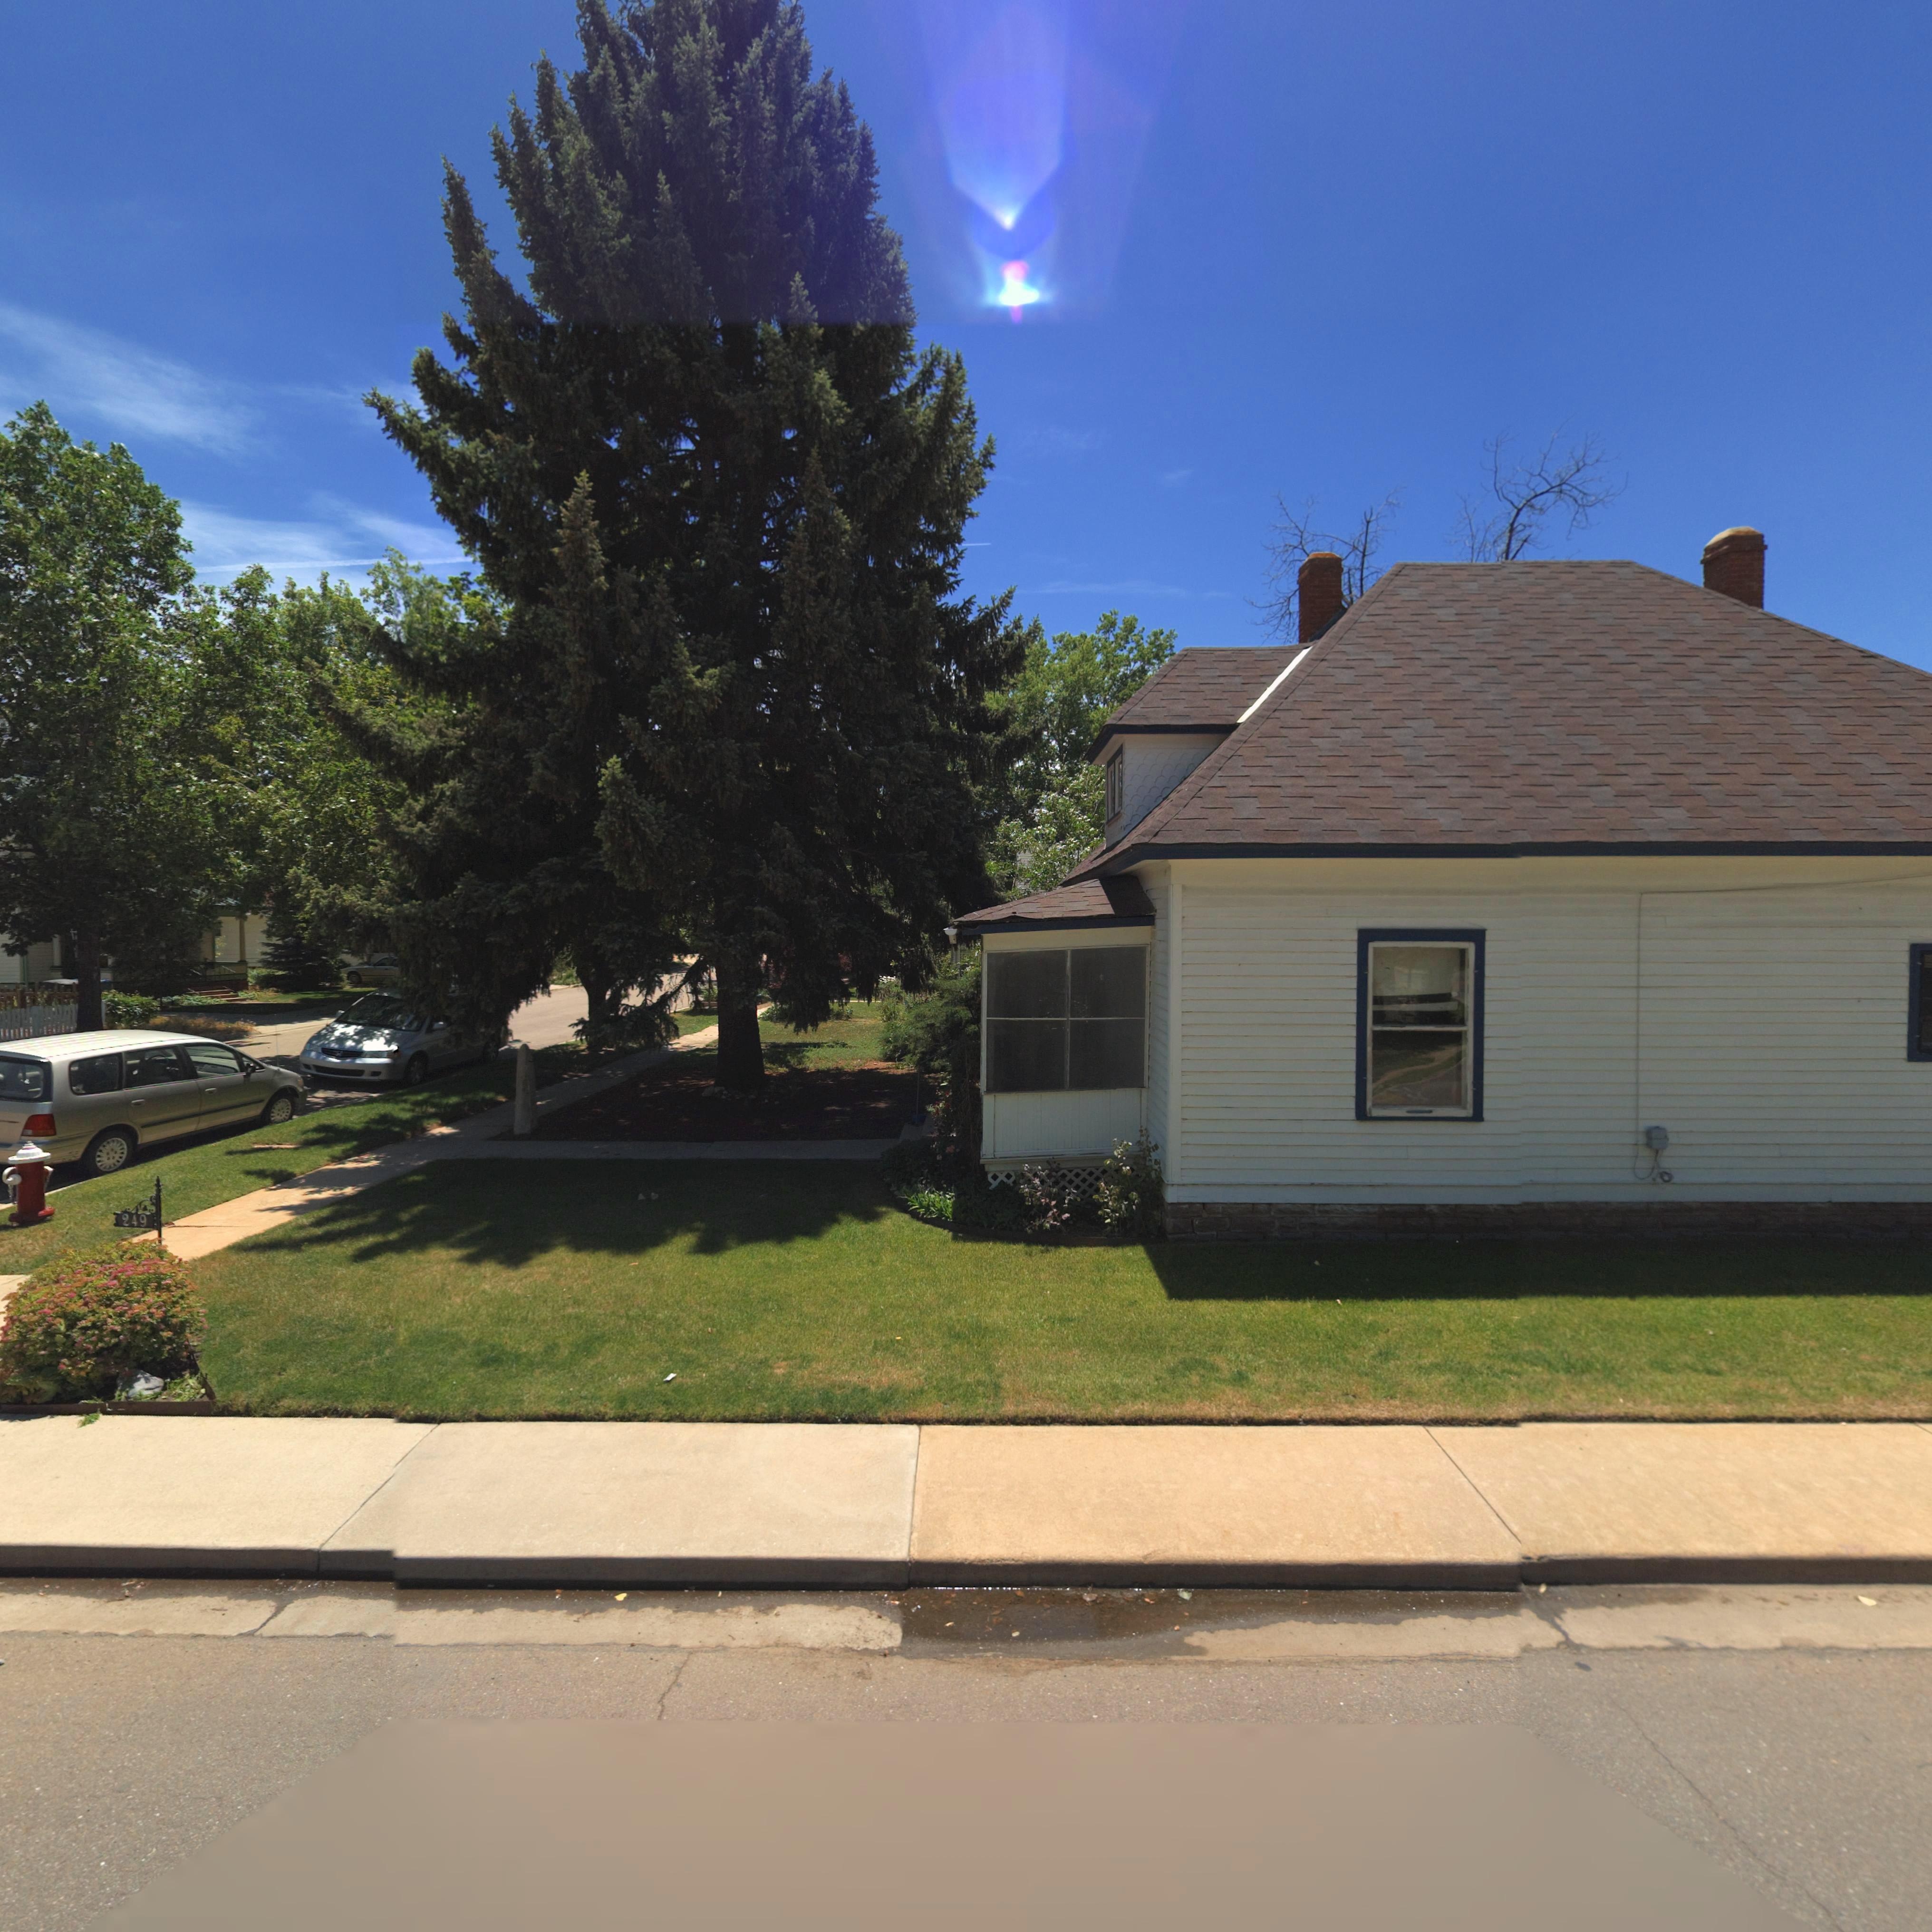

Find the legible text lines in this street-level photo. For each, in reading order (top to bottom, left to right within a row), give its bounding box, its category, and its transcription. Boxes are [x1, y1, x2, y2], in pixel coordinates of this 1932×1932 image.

[121, 1213, 146, 1227] StreetNumber: 249